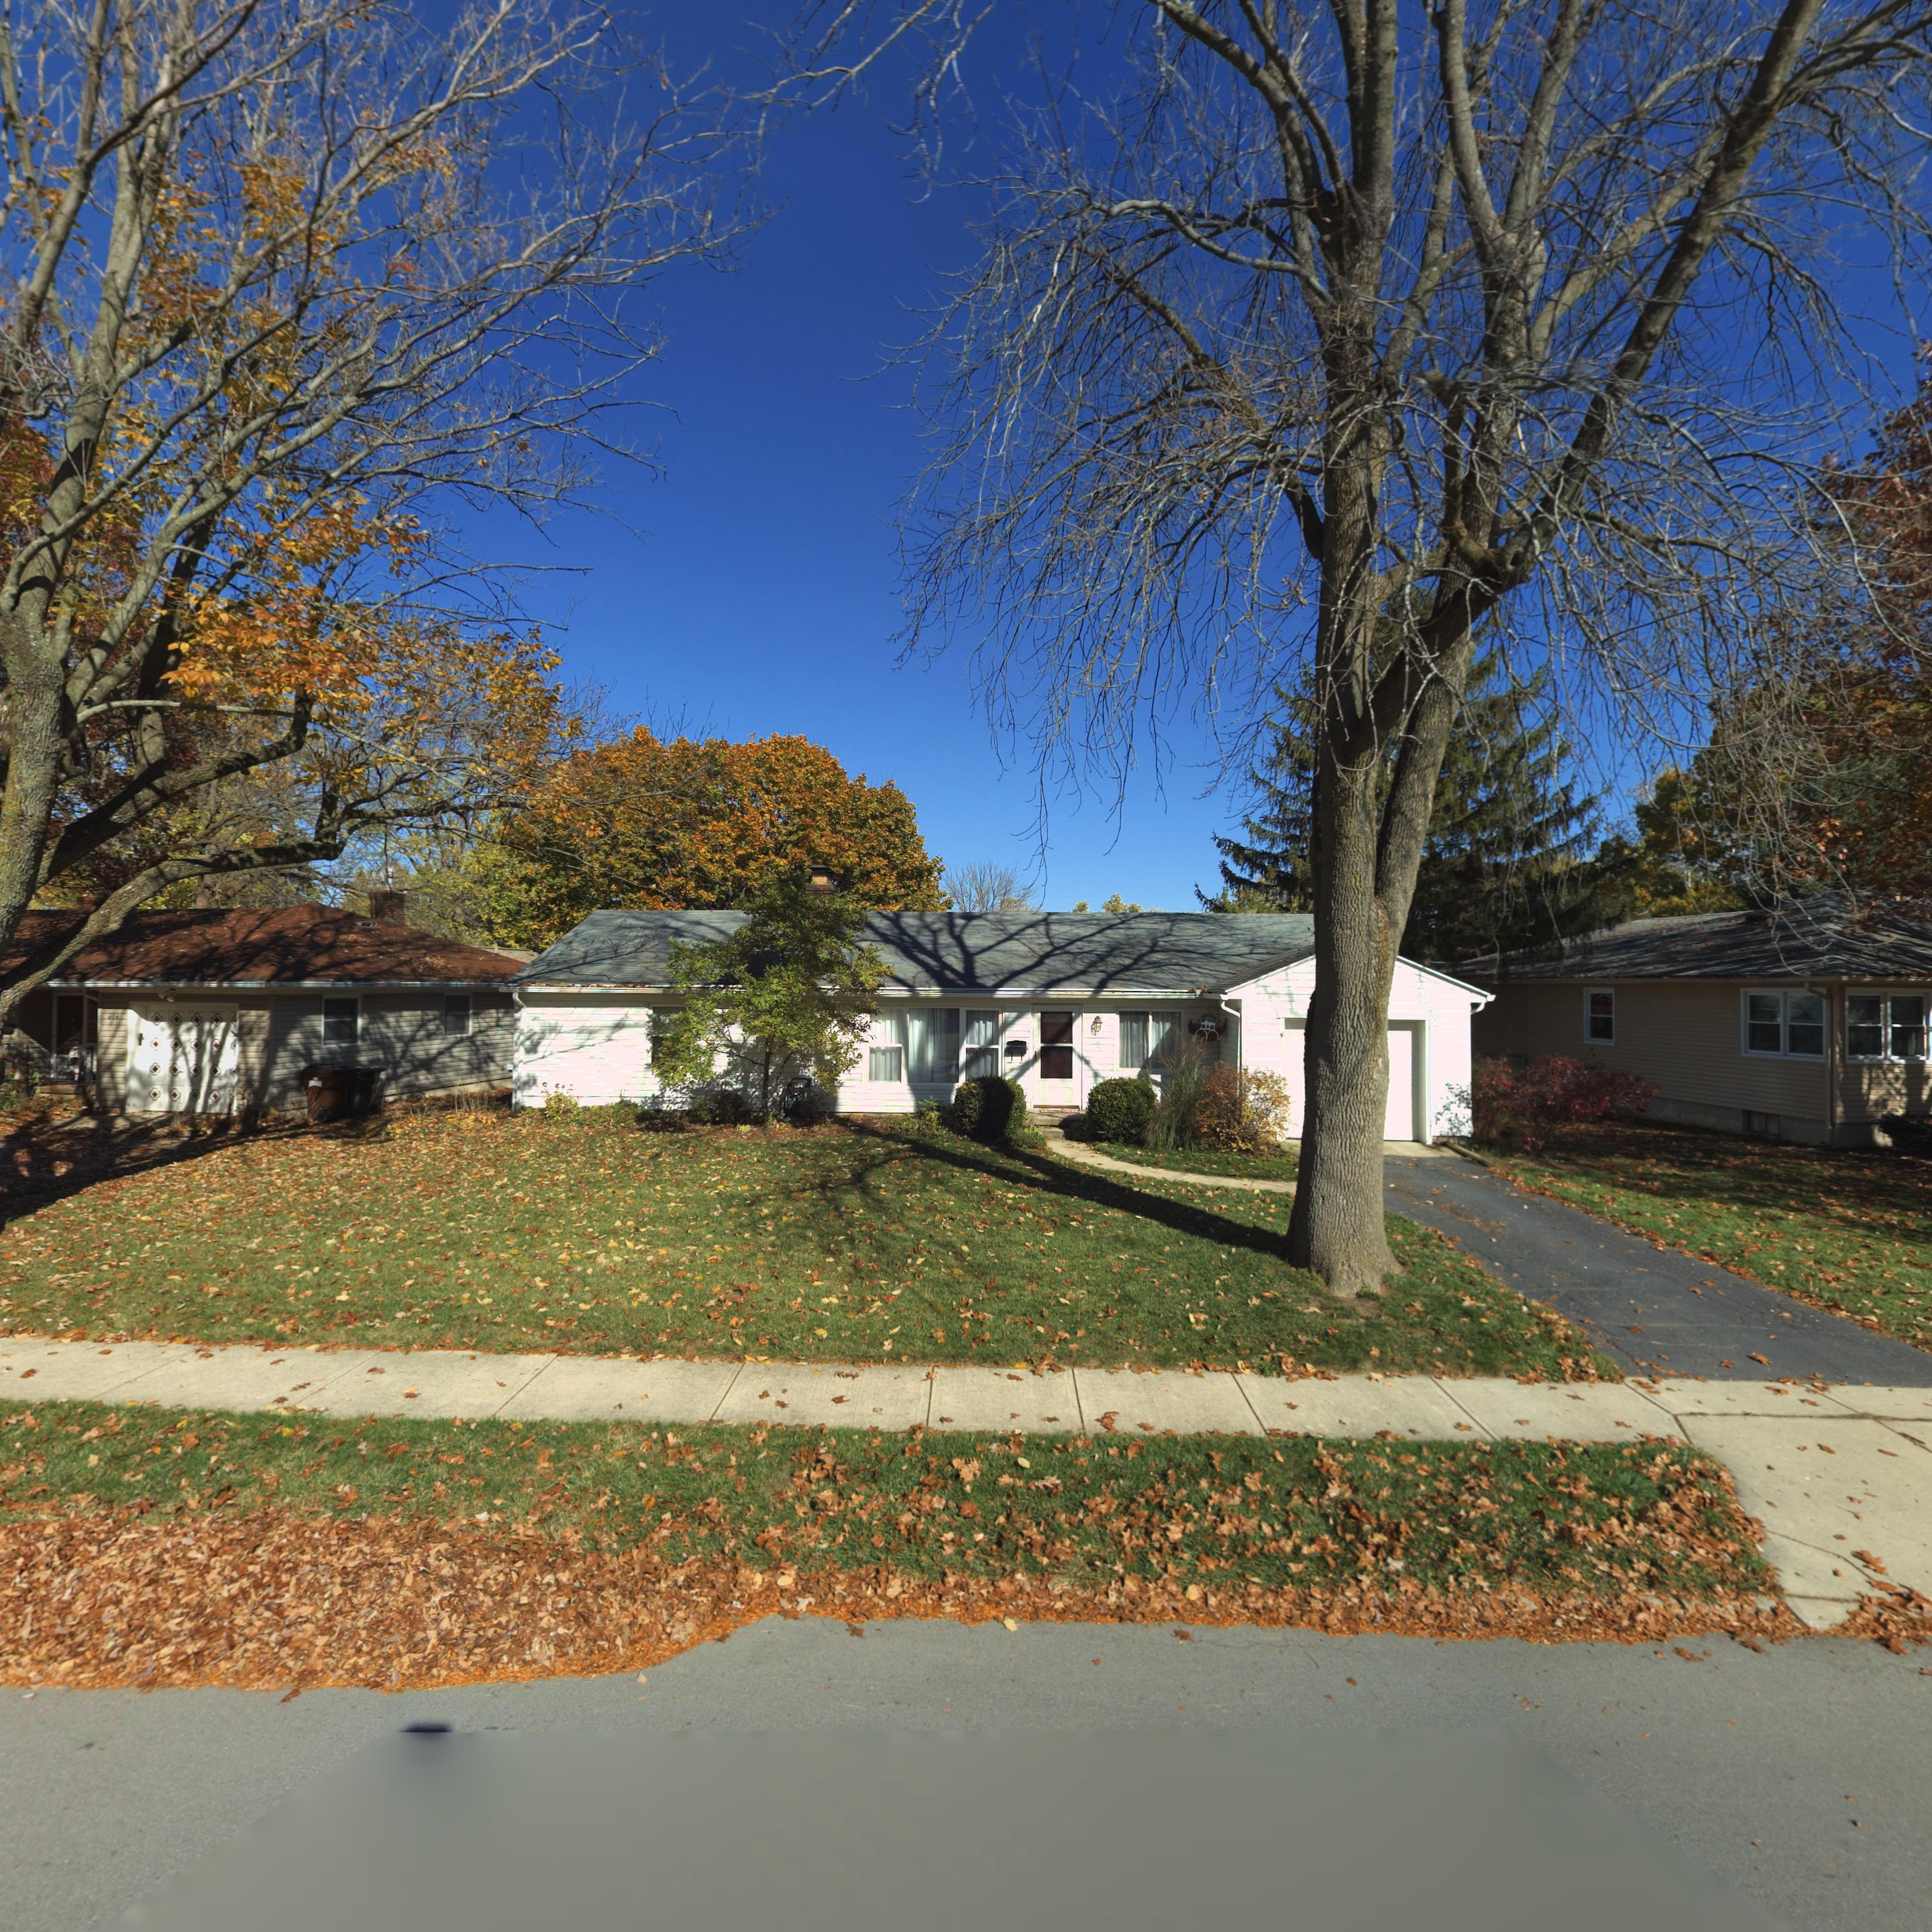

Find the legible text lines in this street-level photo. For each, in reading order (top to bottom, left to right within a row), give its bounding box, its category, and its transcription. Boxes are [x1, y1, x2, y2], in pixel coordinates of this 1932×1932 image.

[107, 1013, 119, 1020] StreetNumber: 414